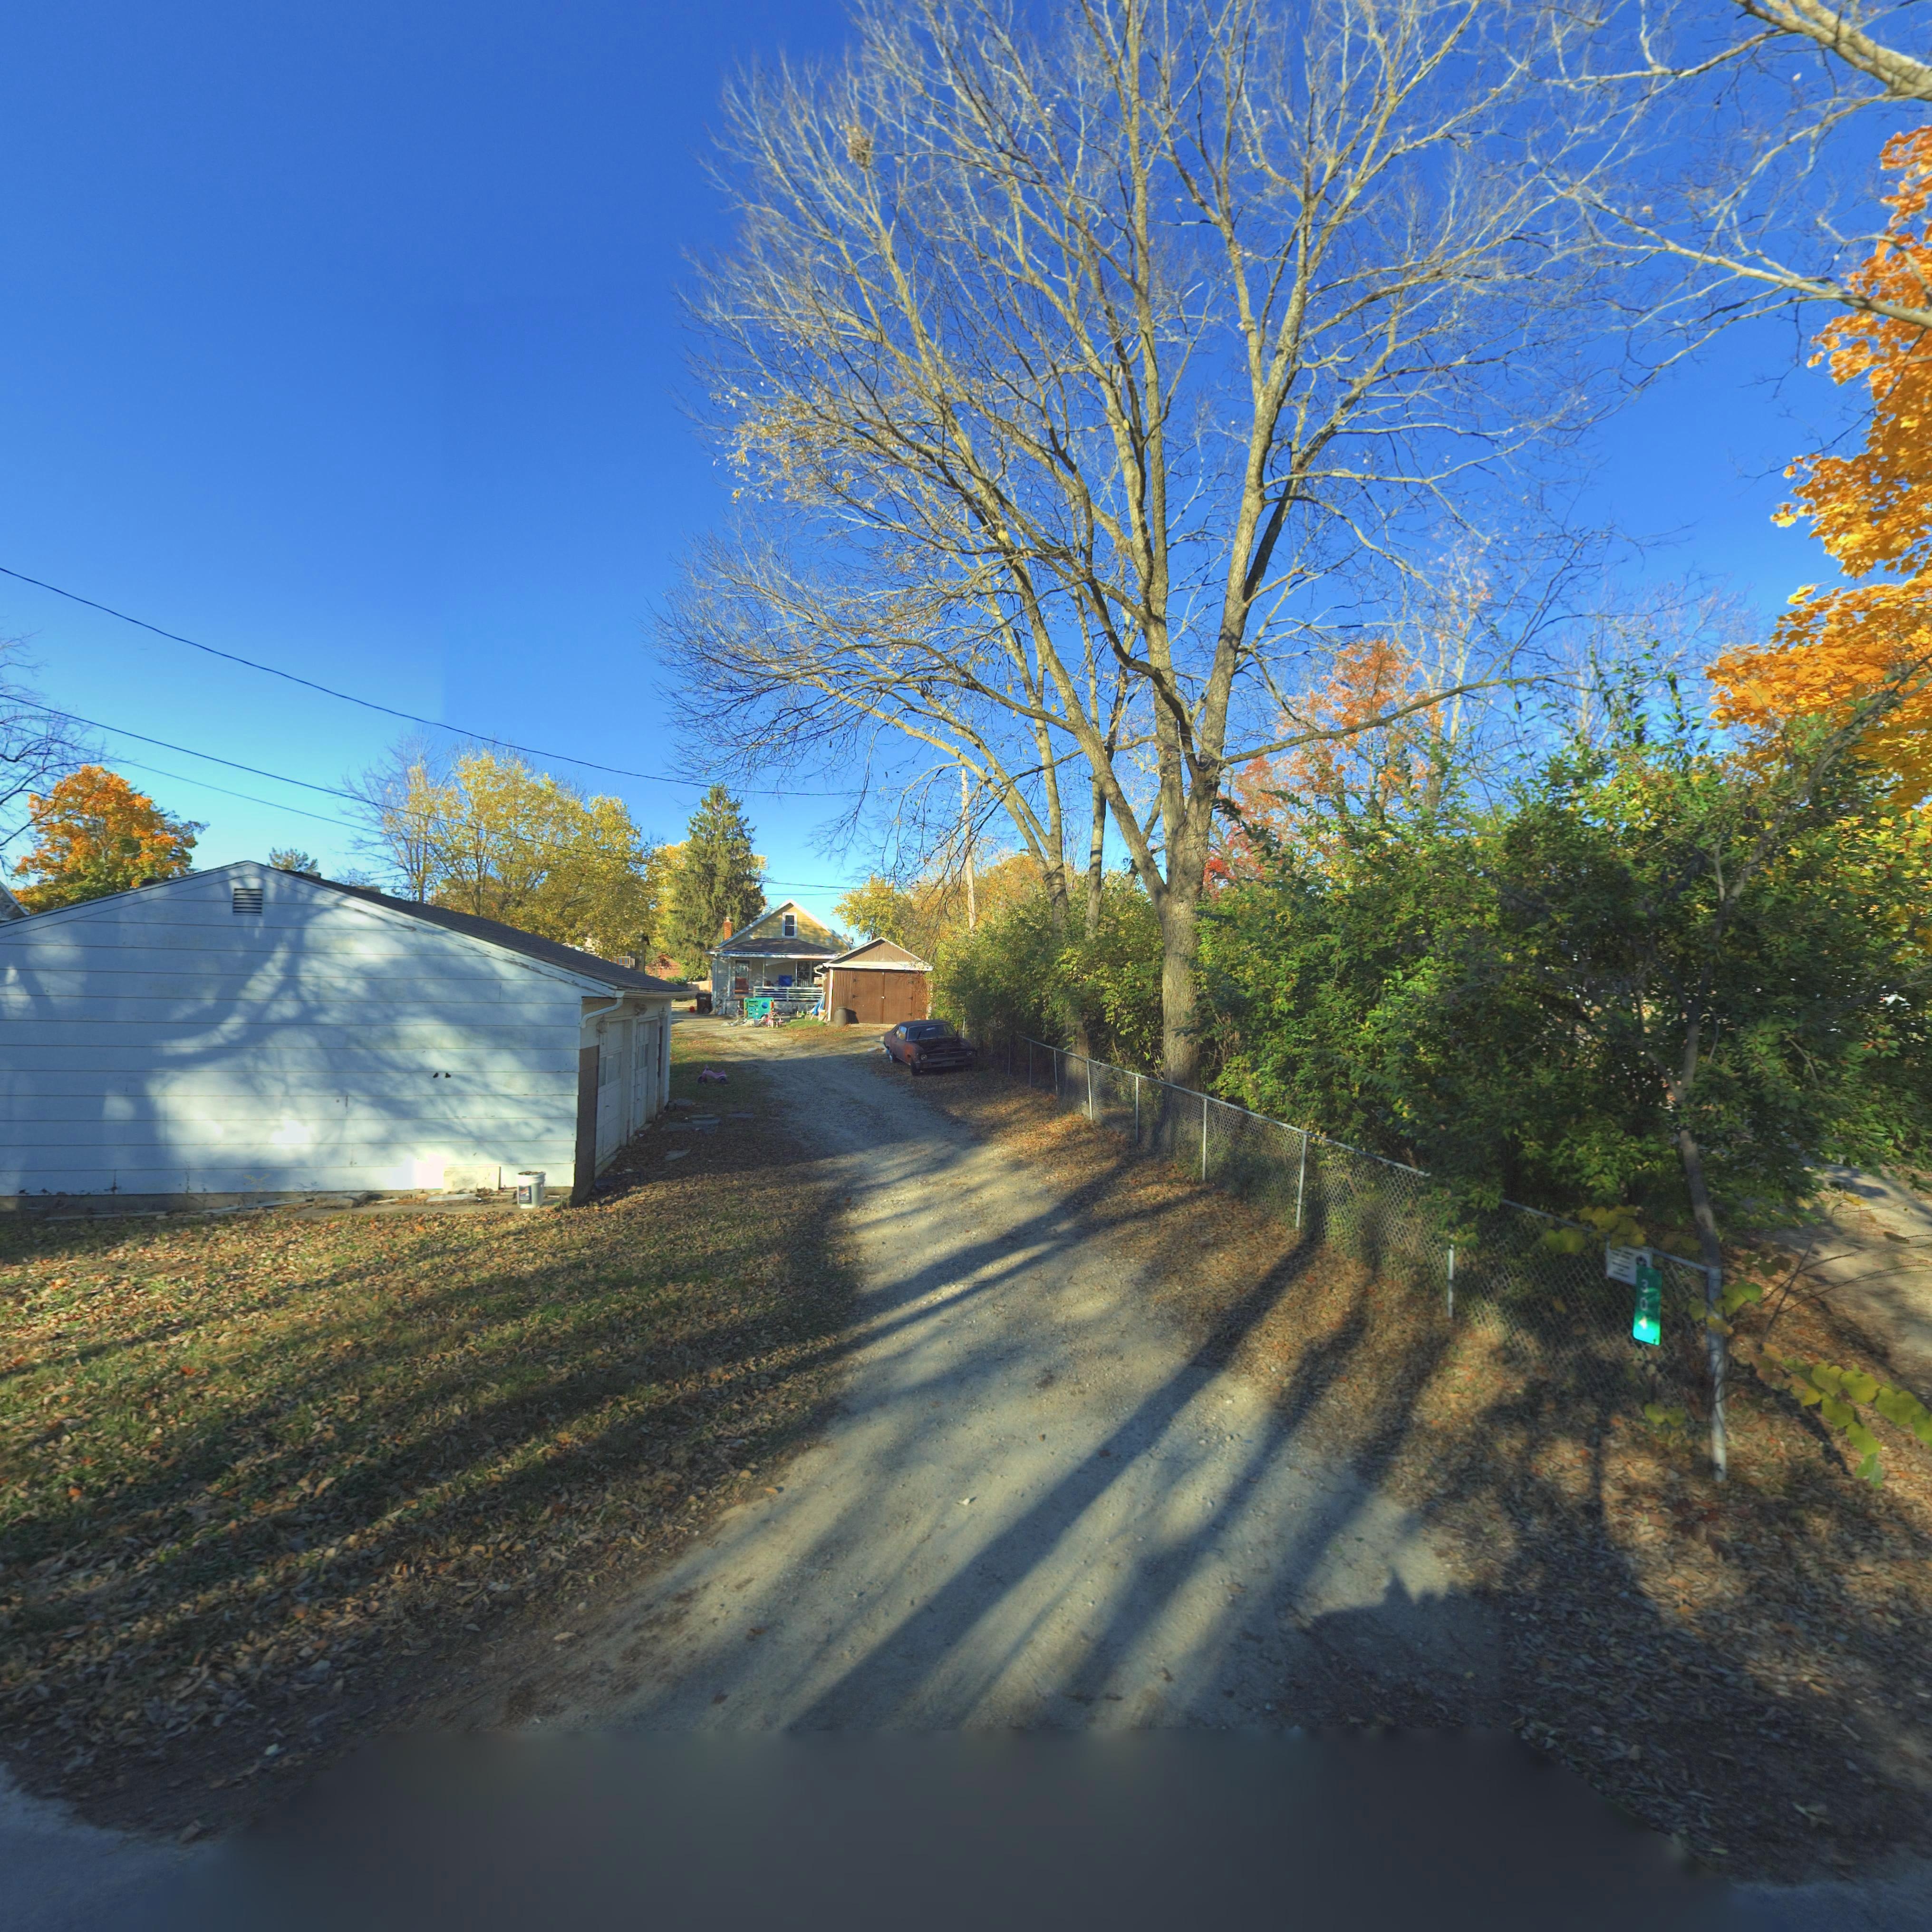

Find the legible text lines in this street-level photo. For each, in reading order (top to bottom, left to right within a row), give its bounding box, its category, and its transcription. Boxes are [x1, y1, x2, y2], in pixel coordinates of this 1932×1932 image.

[1636, 1277, 1650, 1332] StreetNumber: 304